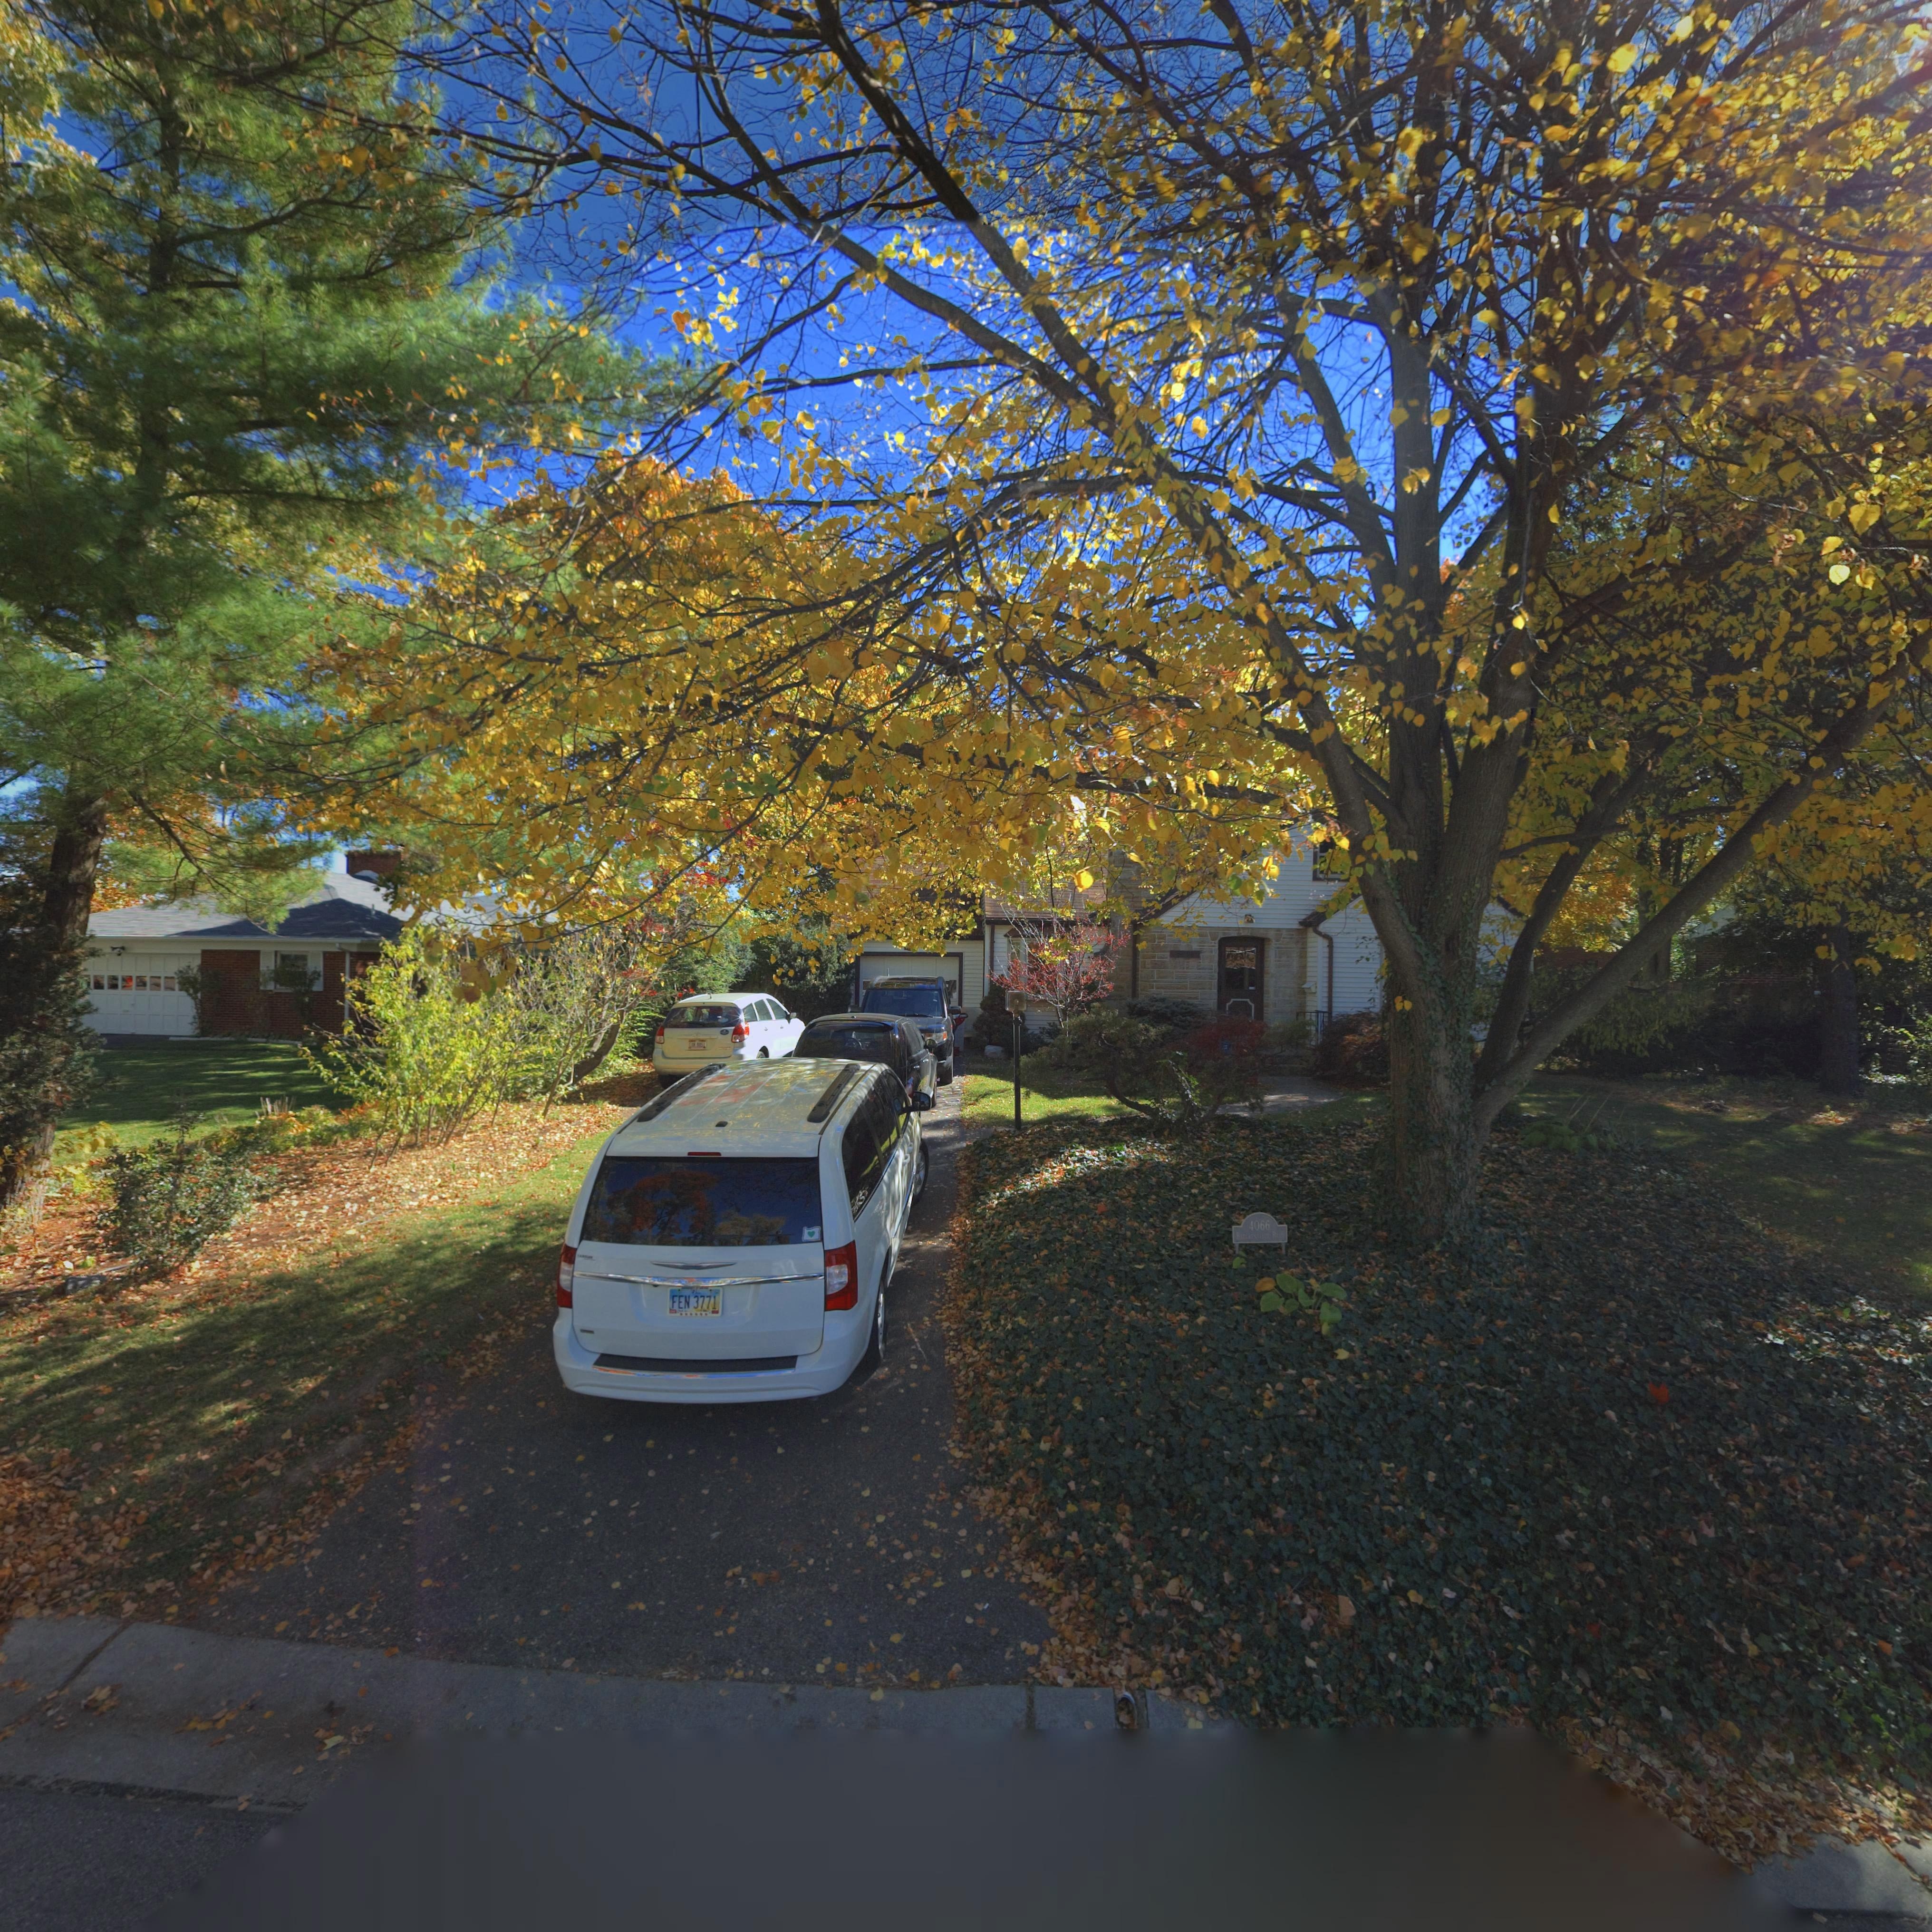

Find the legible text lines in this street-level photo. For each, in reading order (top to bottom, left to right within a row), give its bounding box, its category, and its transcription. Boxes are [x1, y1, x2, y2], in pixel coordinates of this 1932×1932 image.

[696, 1042, 705, 1048] None: 8851
[1247, 1219, 1271, 1232] StreetNumber: 4066
[1235, 1231, 1241, 1241] StreetName: B
[1271, 1230, 1277, 1241] StreetName: R
[670, 1294, 717, 1310] None: FEN*3771